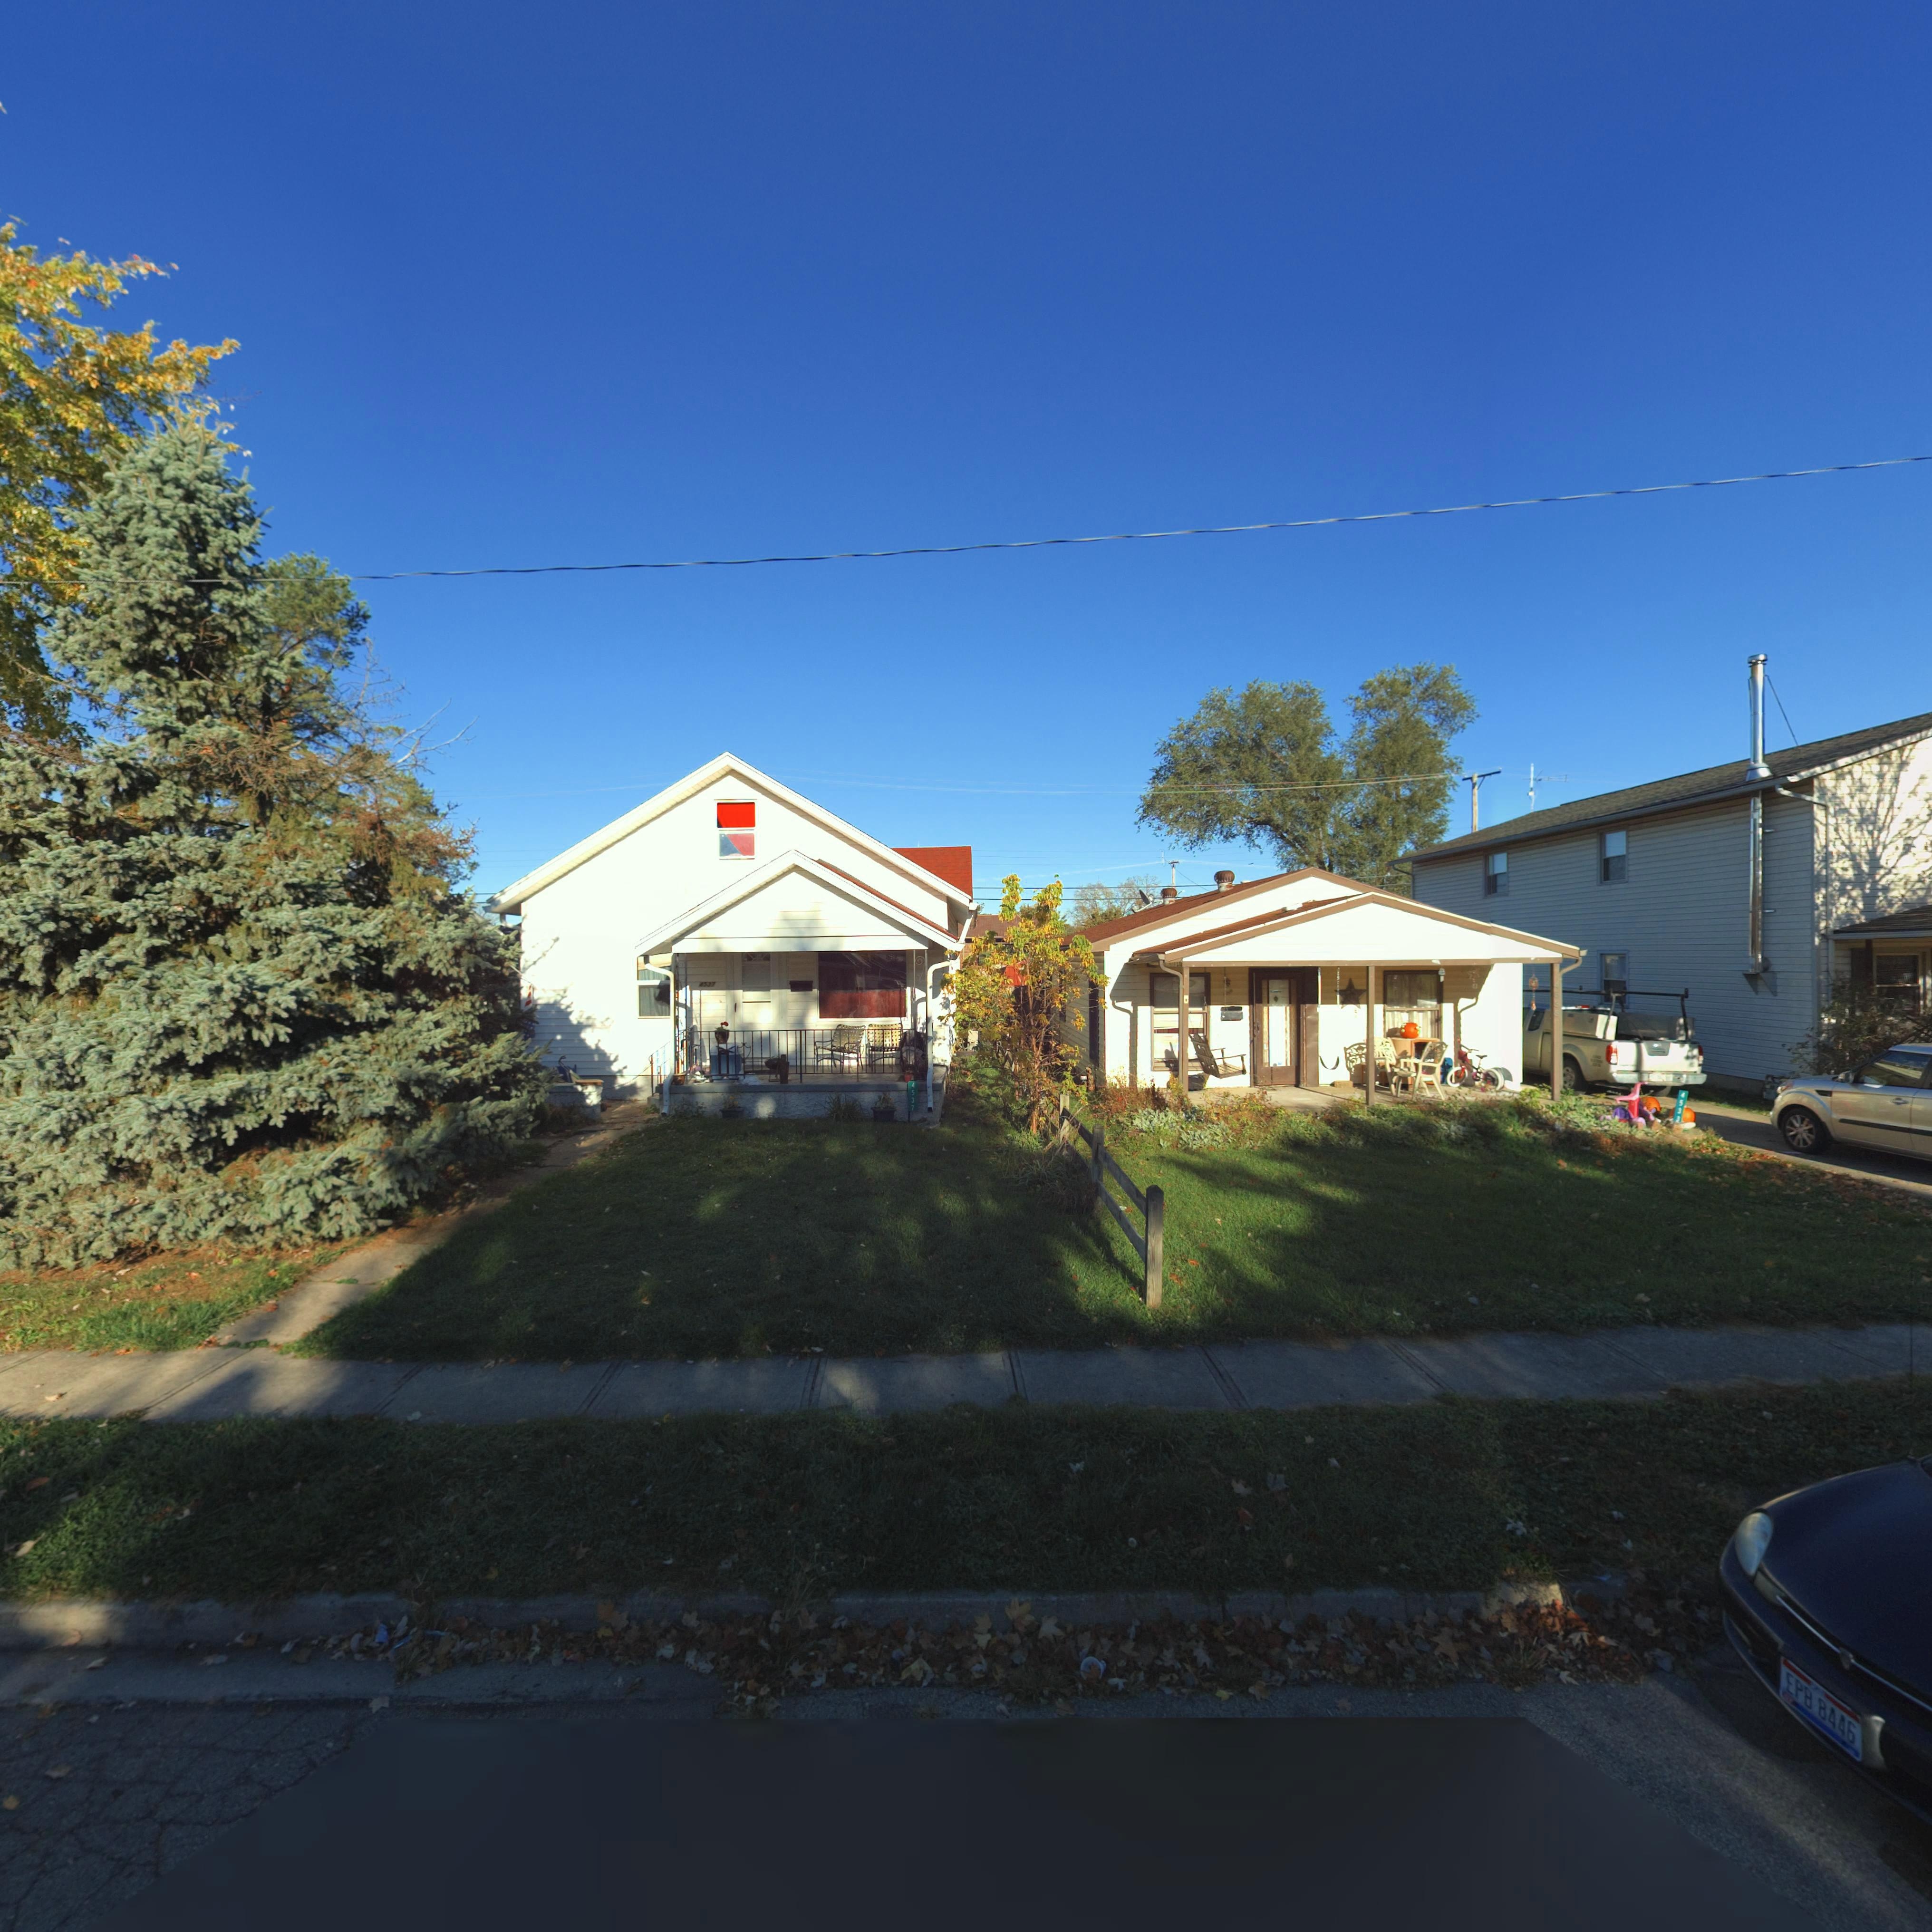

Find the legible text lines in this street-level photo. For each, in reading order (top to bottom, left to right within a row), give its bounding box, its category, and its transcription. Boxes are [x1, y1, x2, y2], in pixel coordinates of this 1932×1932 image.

[698, 981, 716, 987] StreetNumber: 4537